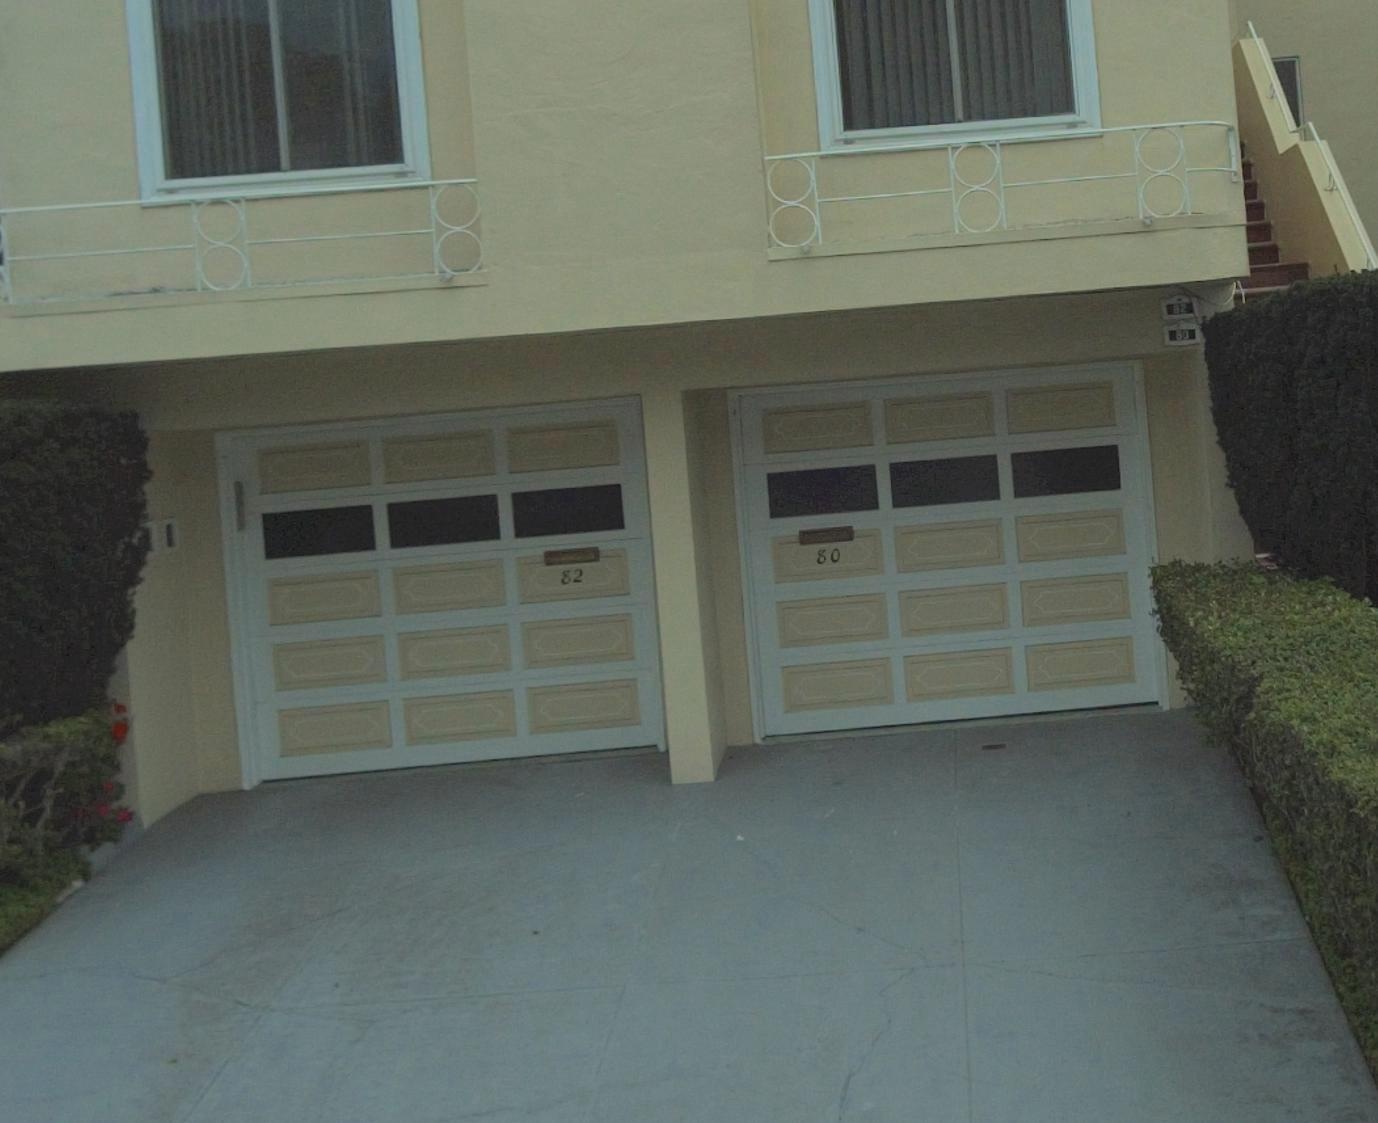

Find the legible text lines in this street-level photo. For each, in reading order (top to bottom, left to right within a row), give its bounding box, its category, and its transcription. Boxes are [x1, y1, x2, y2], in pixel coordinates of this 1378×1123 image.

[1172, 303, 1188, 315] StreetNumber: 82
[1175, 328, 1190, 341] StreetNumber: 80
[816, 546, 842, 565] StreetNumber: 80
[560, 567, 585, 585] StreetNumber: 82